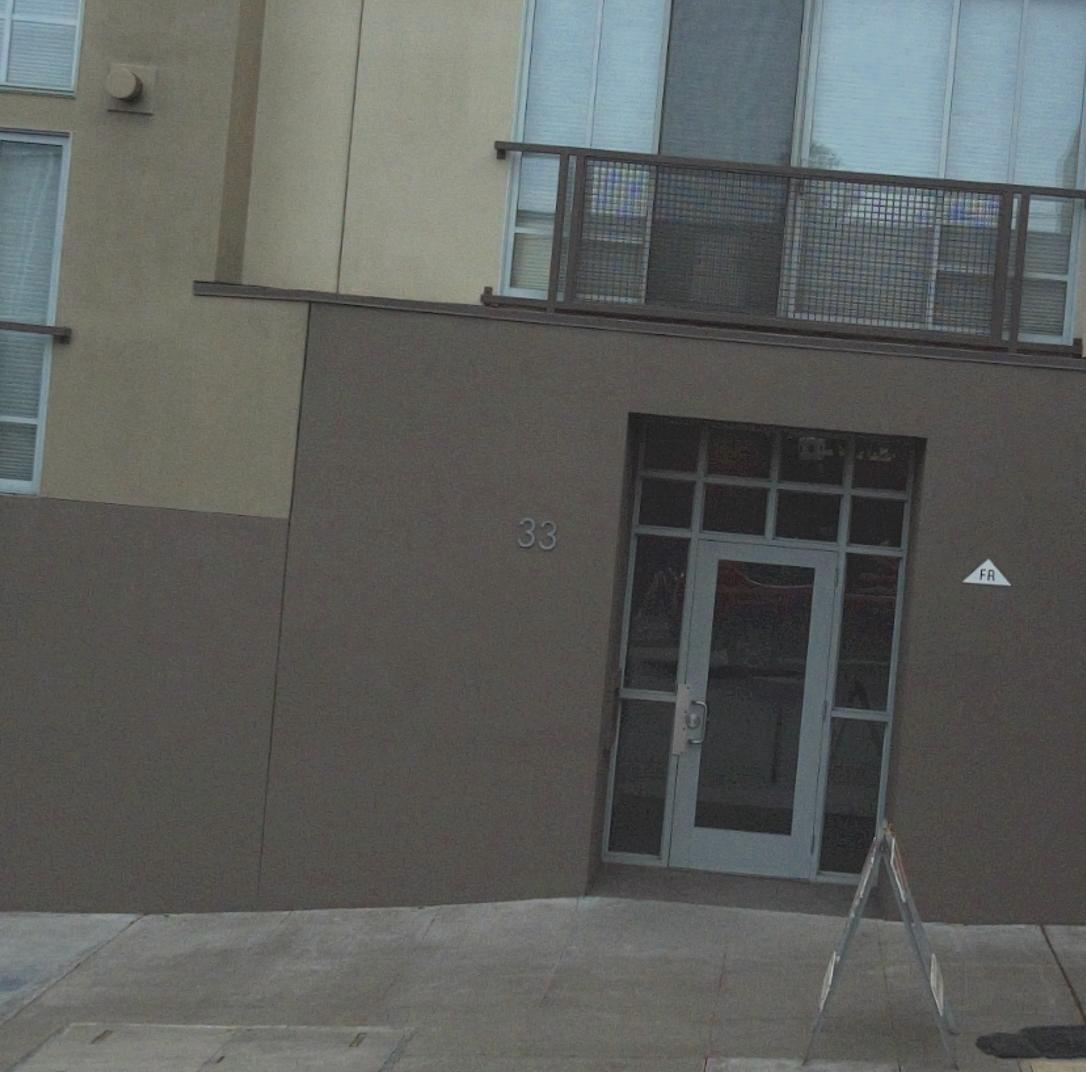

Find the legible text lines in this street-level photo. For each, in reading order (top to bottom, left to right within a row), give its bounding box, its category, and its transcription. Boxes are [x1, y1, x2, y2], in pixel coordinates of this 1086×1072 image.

[516, 513, 560, 554] StreetNumber: 33
[978, 568, 997, 582] None: FR